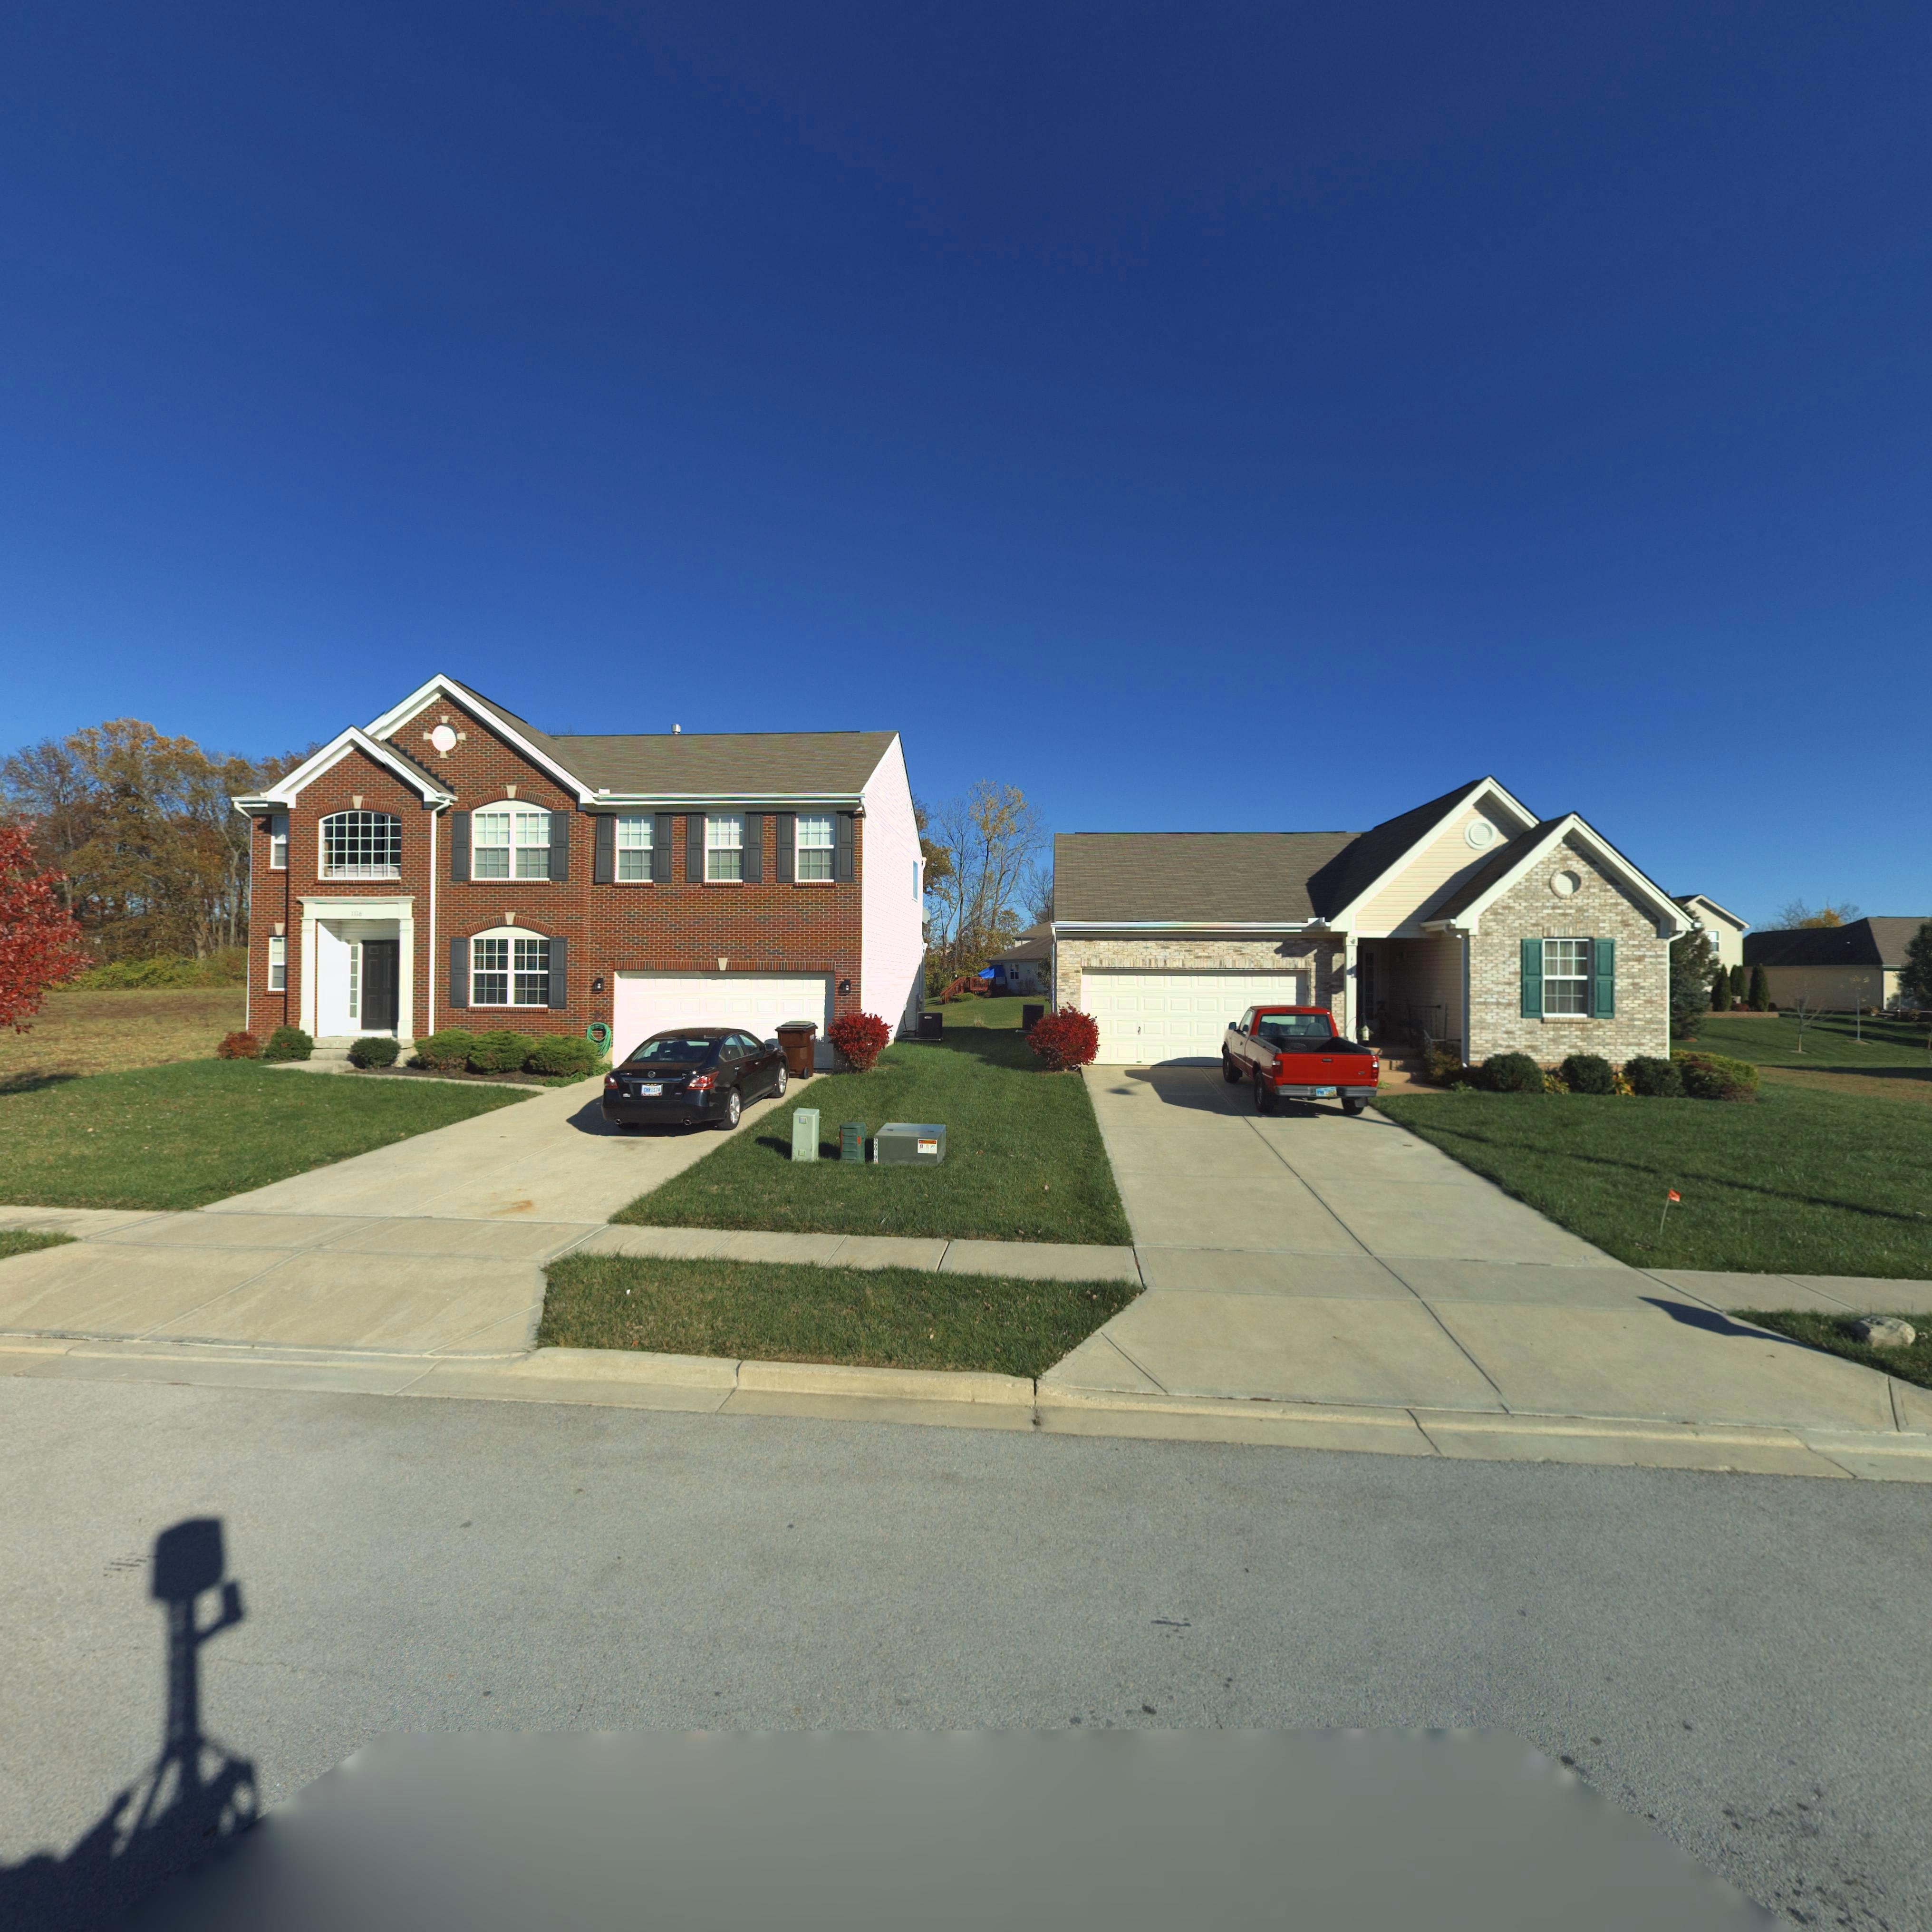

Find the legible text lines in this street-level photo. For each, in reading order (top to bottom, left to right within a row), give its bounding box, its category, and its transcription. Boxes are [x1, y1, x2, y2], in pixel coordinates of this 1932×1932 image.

[350, 910, 362, 917] StreetNumber: 1116
[1349, 956, 1354, 980] StreetNumber: 1114